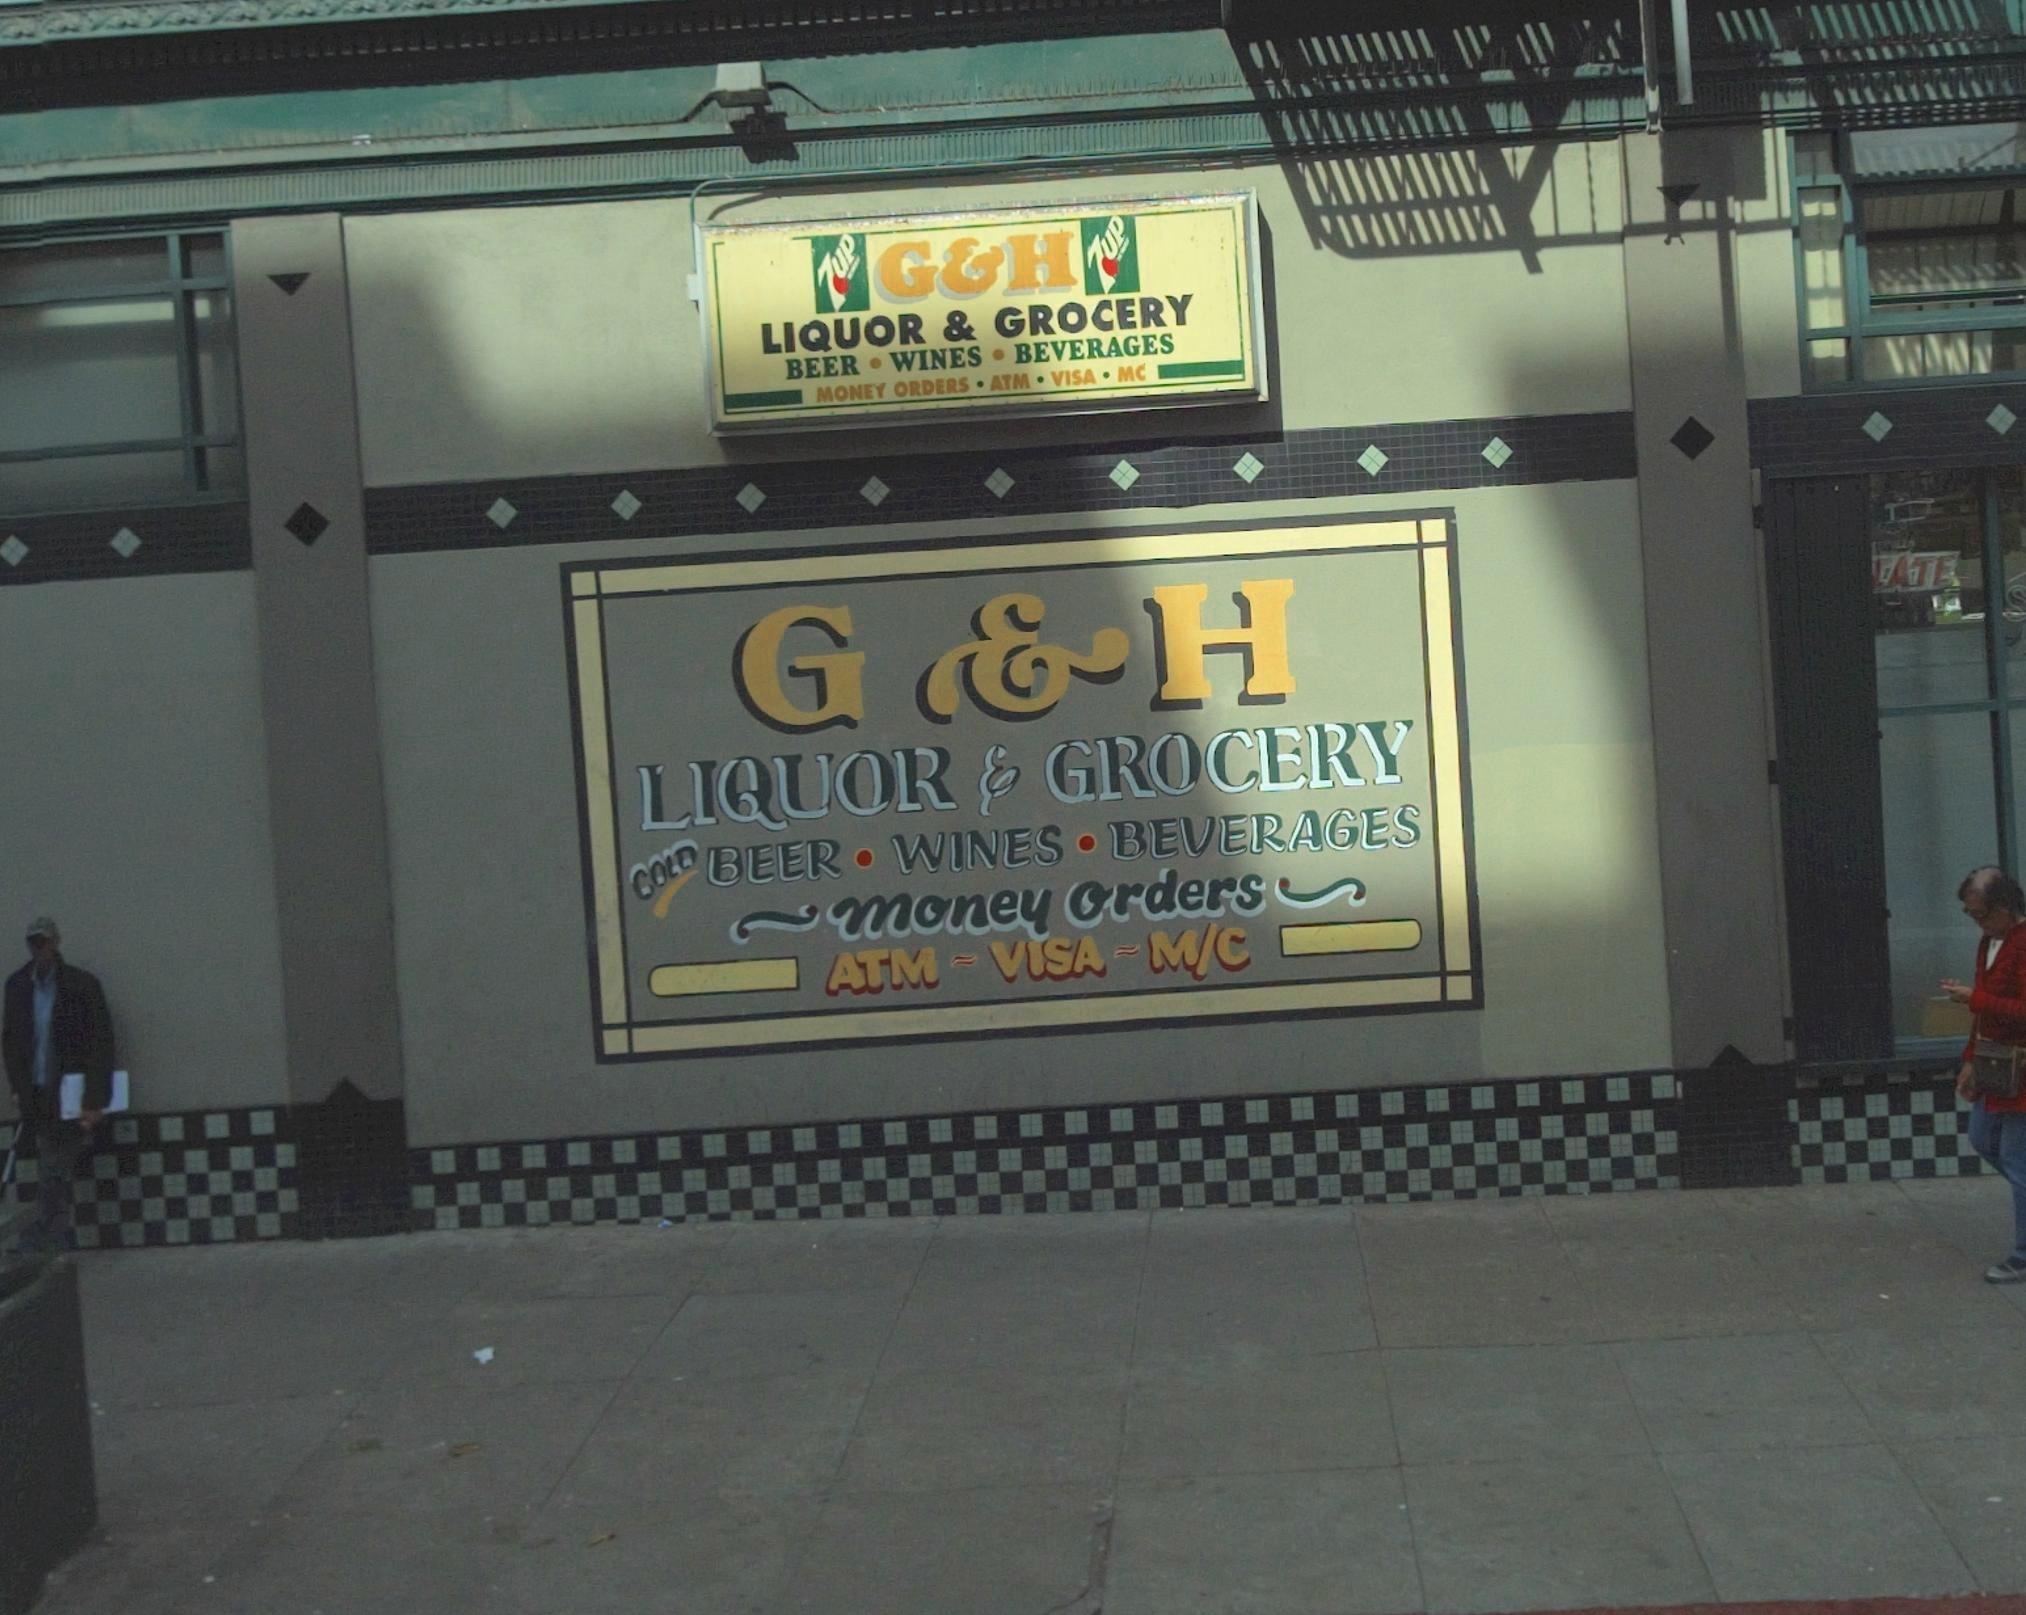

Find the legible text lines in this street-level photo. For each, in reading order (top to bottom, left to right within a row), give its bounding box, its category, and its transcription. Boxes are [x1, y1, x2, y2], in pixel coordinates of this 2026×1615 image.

[873, 224, 1082, 308] BusinessName: G&H
[755, 290, 1195, 358] None: LIQUOR & GROCERY
[778, 328, 1178, 385] None: BEER - WINES - BEVERAGES
[811, 359, 1152, 410] None: MONEY ORDERS - ATM - VISA - MC
[1880, 547, 1959, 594] None: ATE
[727, 572, 1300, 732] BusinessName: G&H
[629, 713, 1422, 835] None: LIQUOR & GROCERY 
[626, 833, 704, 908] None: COLD
[825, 866, 1269, 945] None: Money Orders
[700, 801, 1424, 892] None: BEER - WINES - BEVERAGES
[815, 917, 1254, 999] None: ATM = VISA = M/C